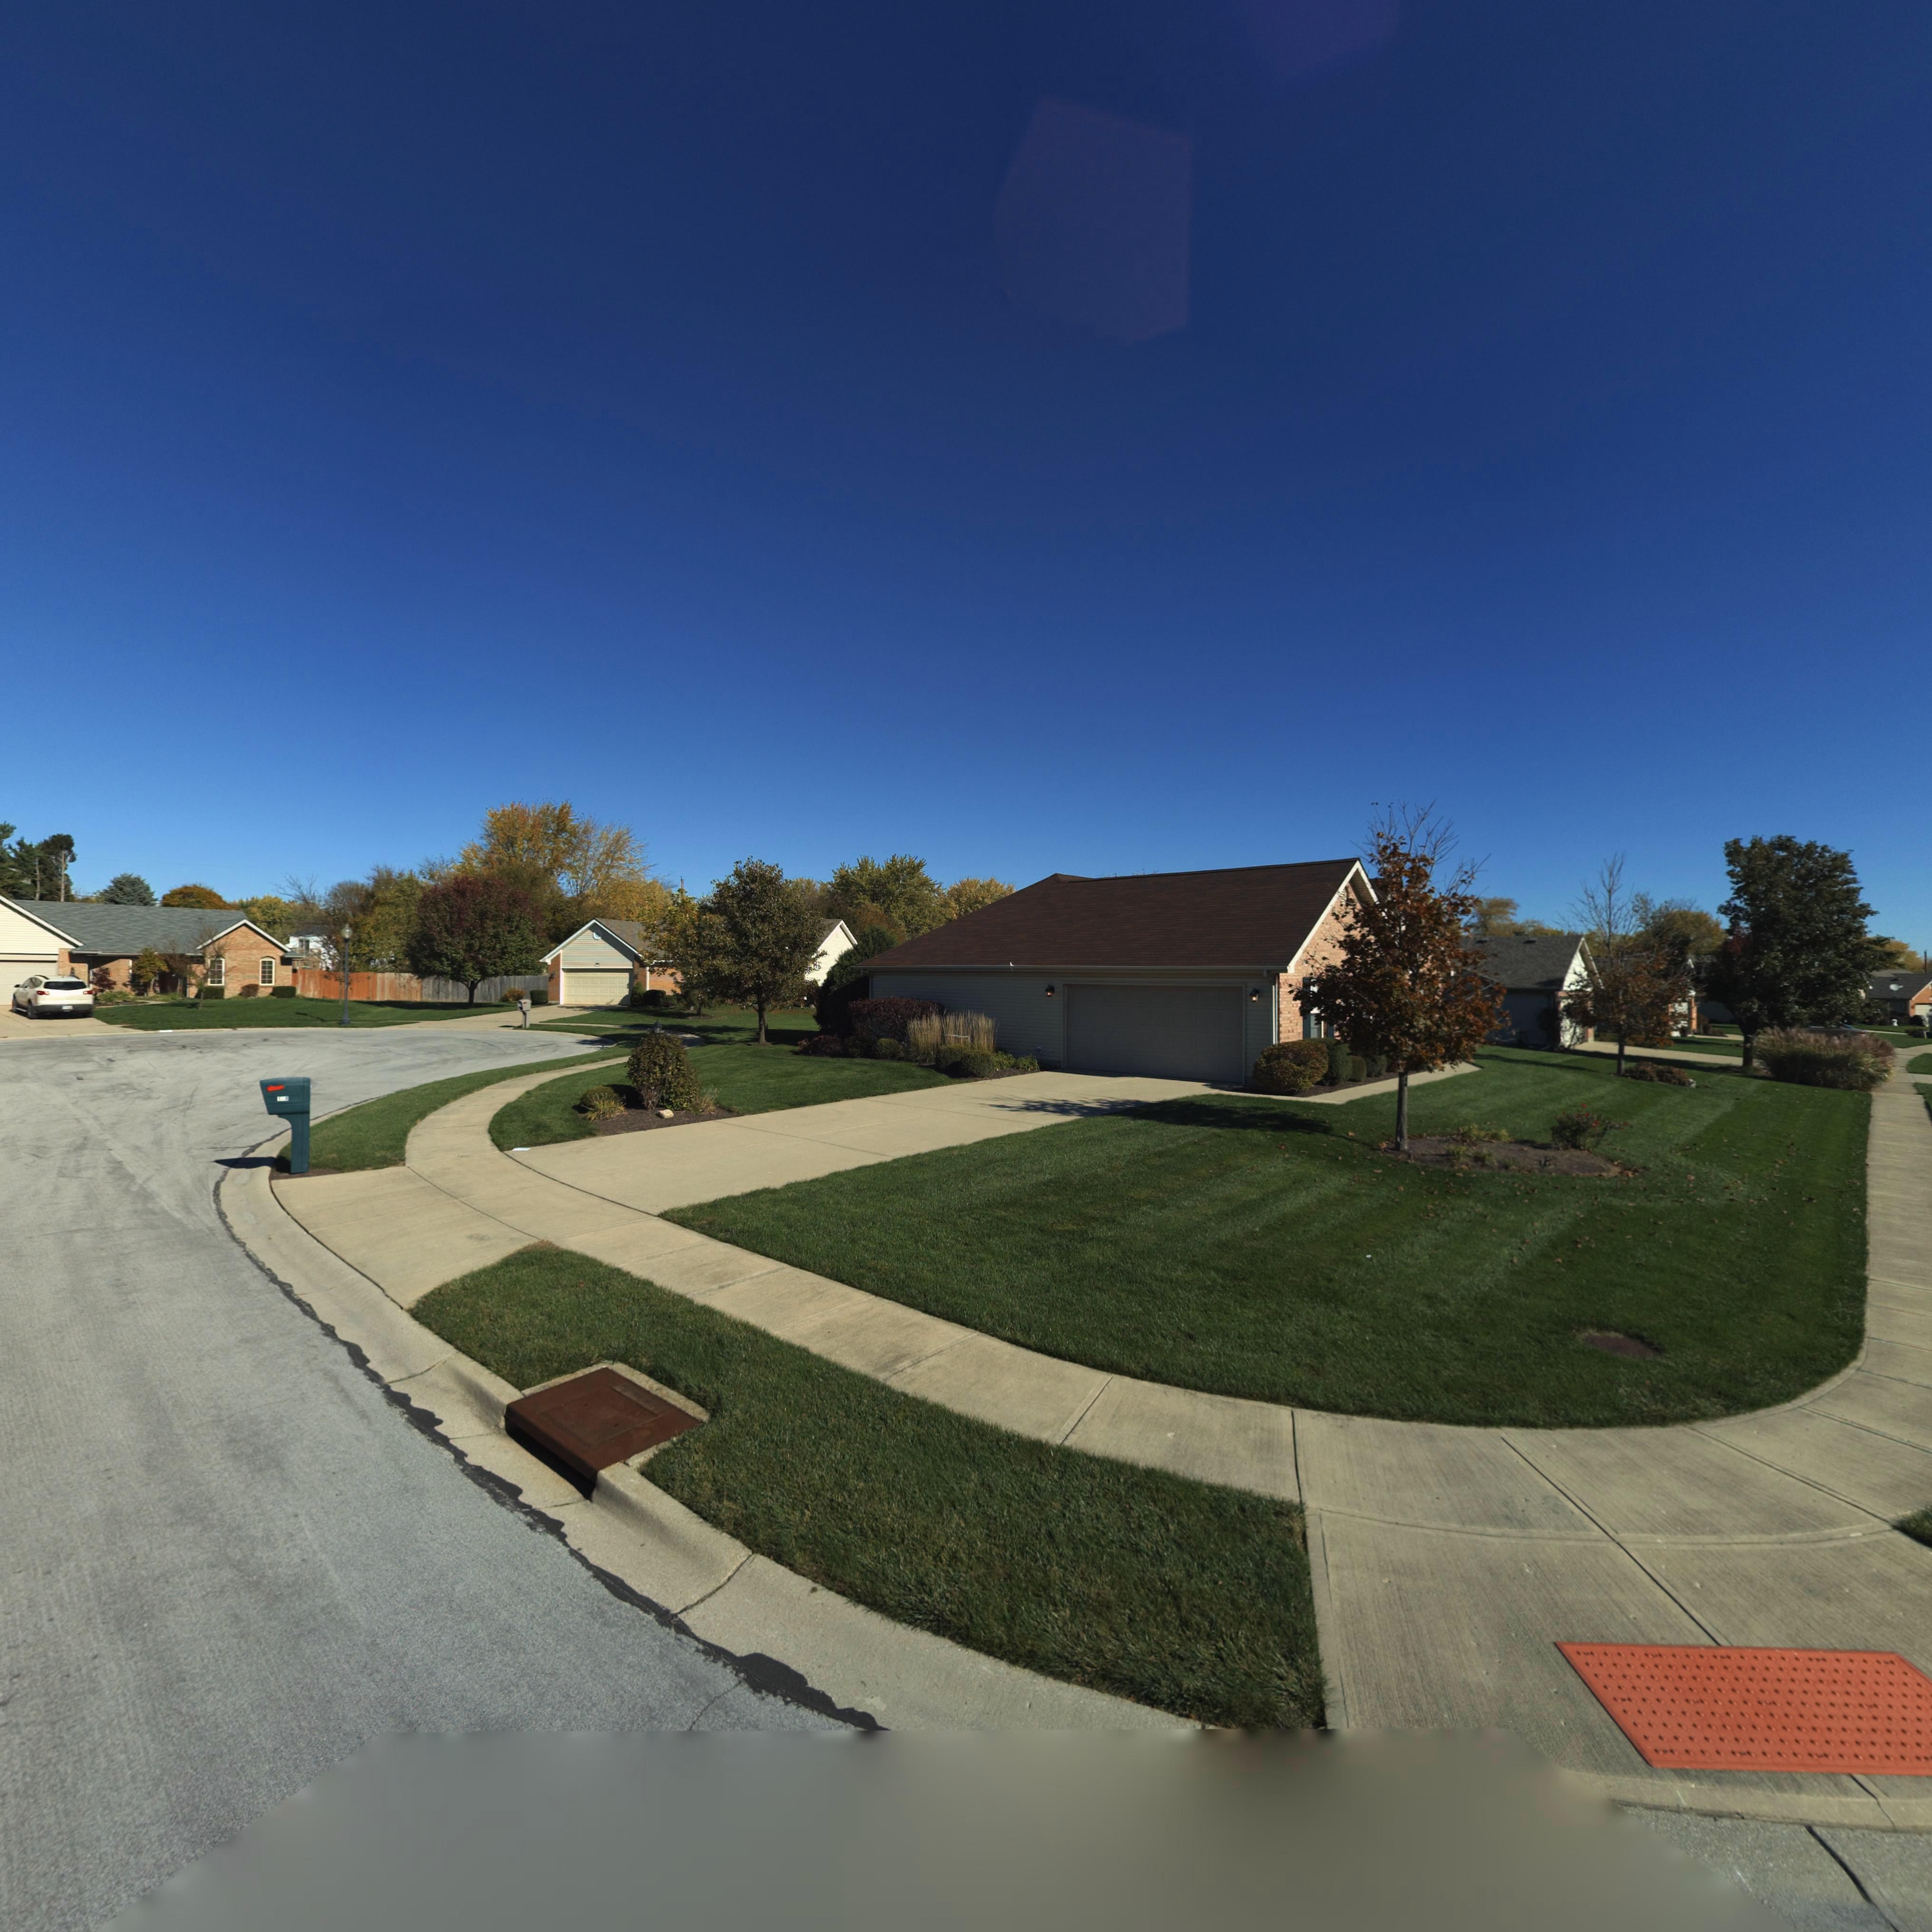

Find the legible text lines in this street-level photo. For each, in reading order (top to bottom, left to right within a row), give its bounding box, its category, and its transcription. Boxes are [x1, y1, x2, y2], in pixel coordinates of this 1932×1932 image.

[278, 1097, 281, 1101] StreetNumber: 1